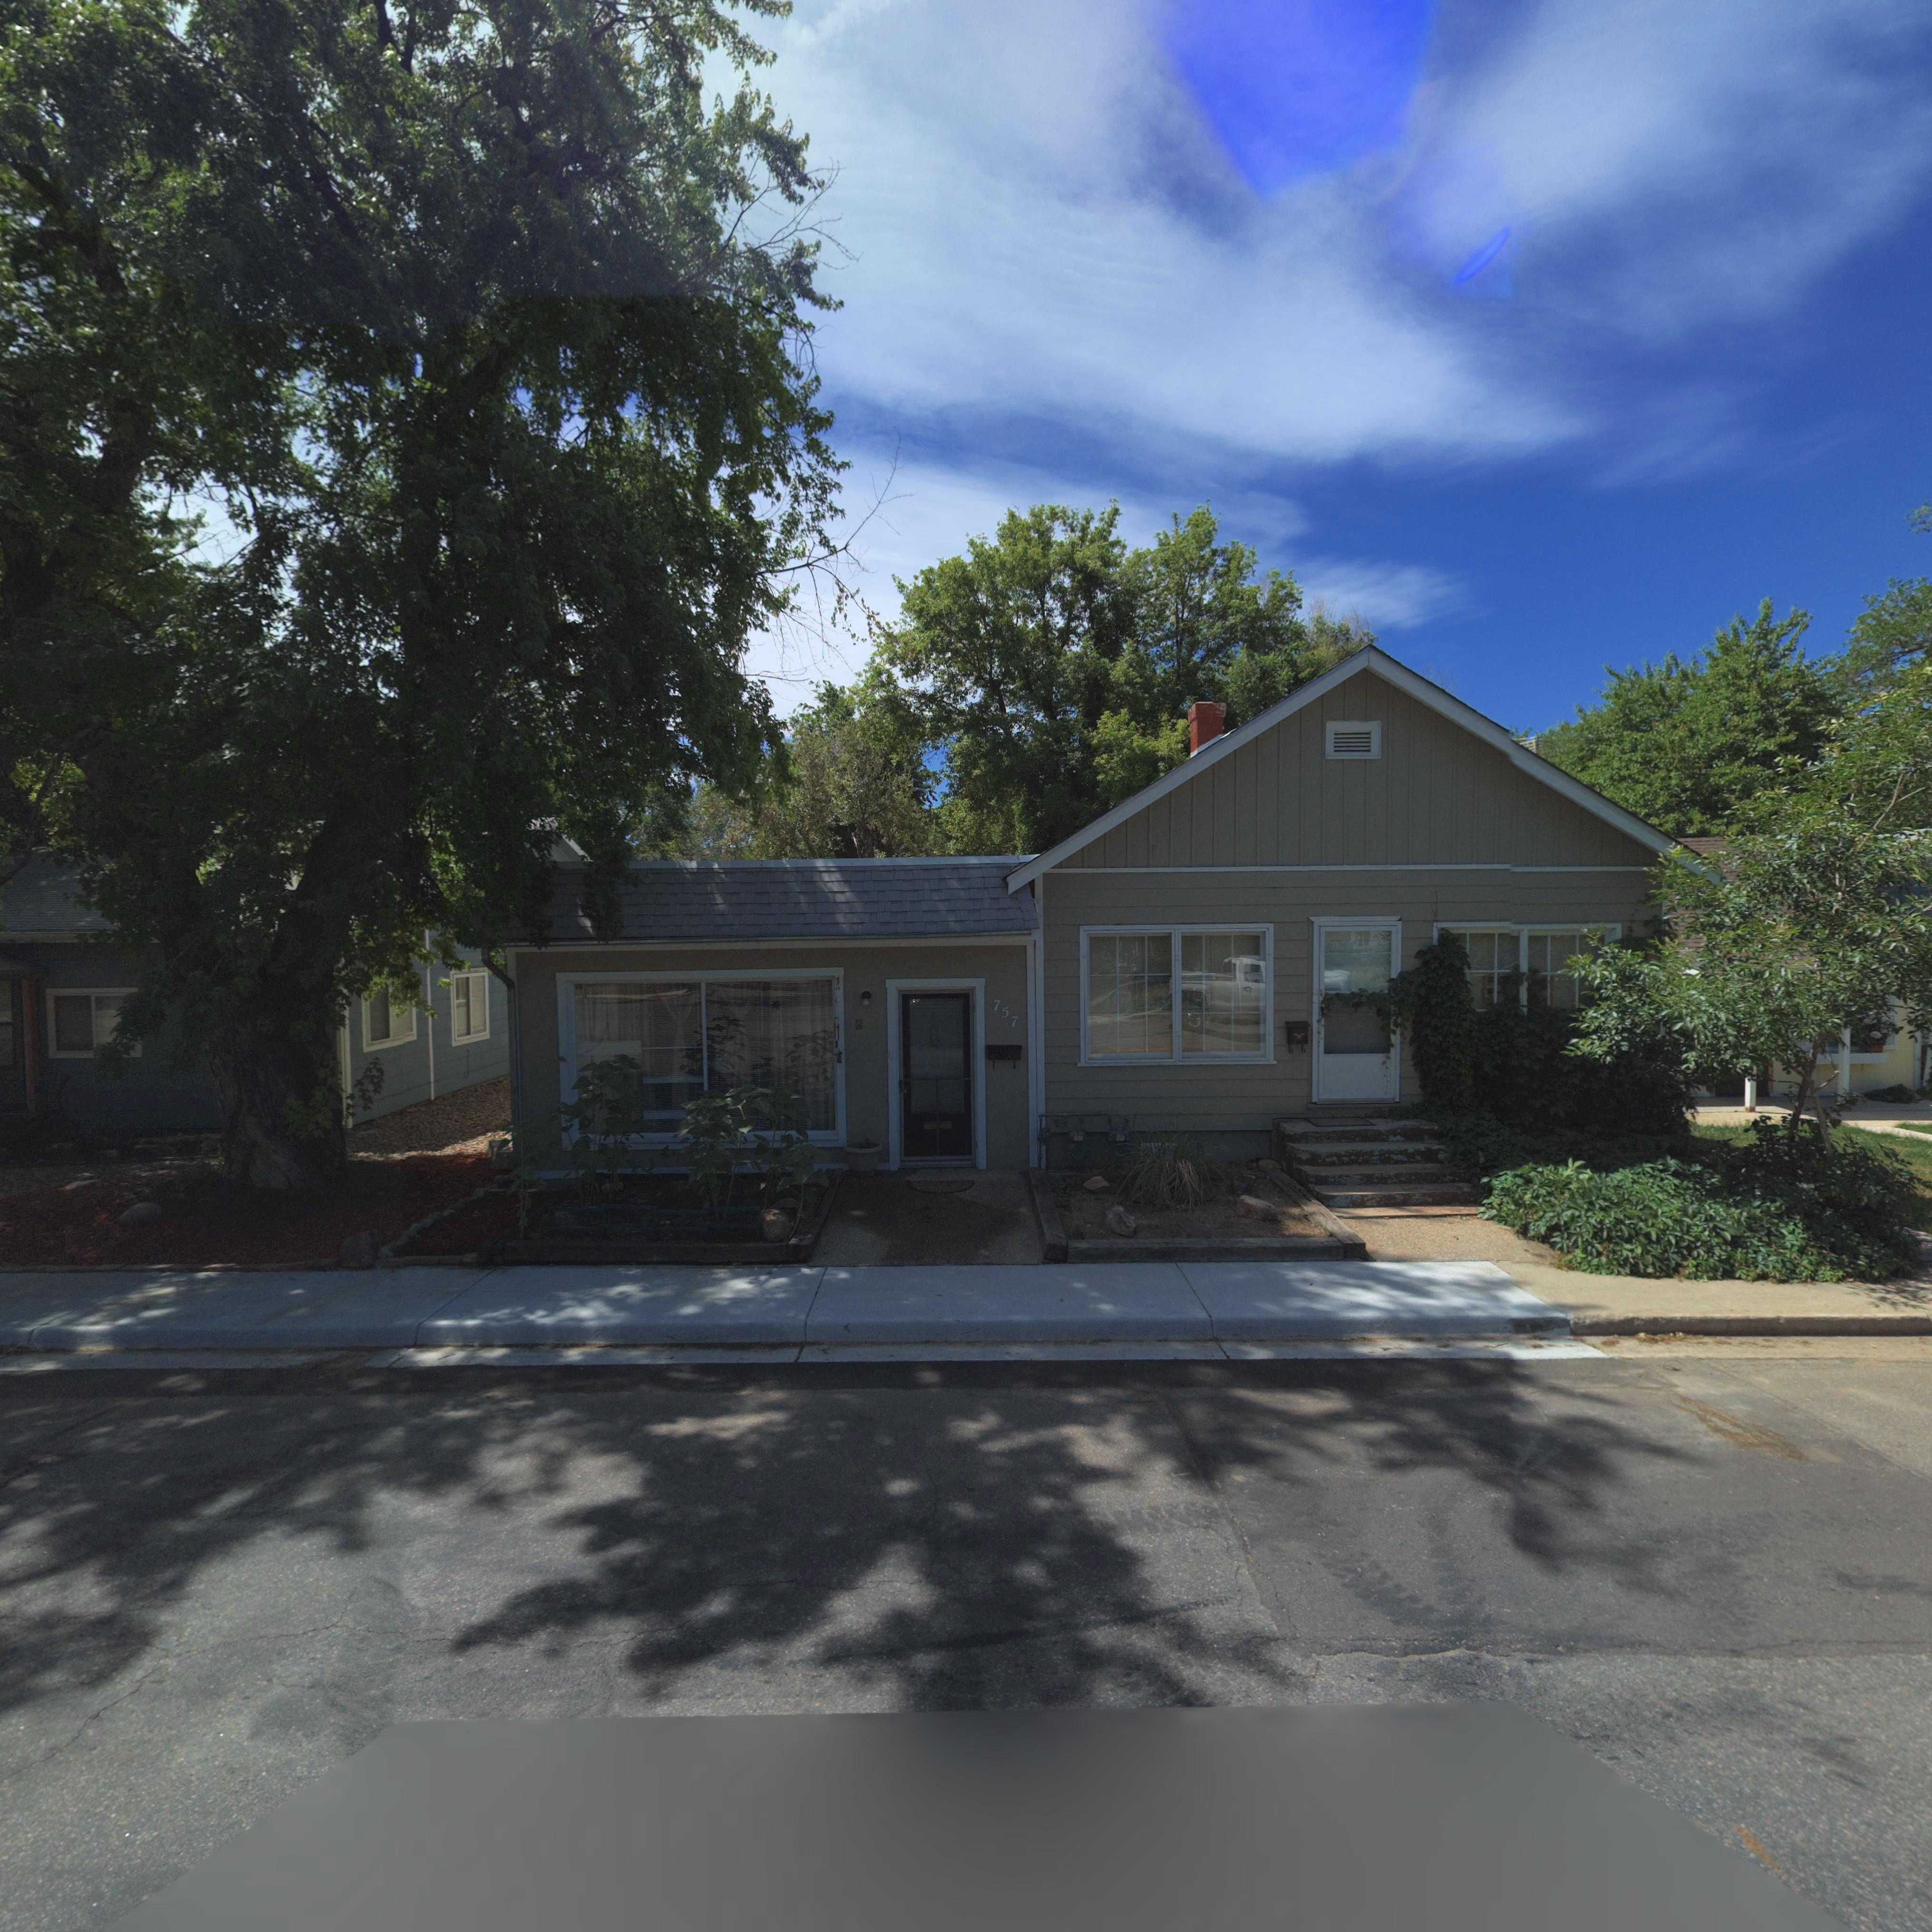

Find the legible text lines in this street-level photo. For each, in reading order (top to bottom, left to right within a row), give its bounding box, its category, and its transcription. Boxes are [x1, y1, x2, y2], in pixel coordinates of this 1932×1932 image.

[992, 999, 1019, 1029] StreetNumber: 757